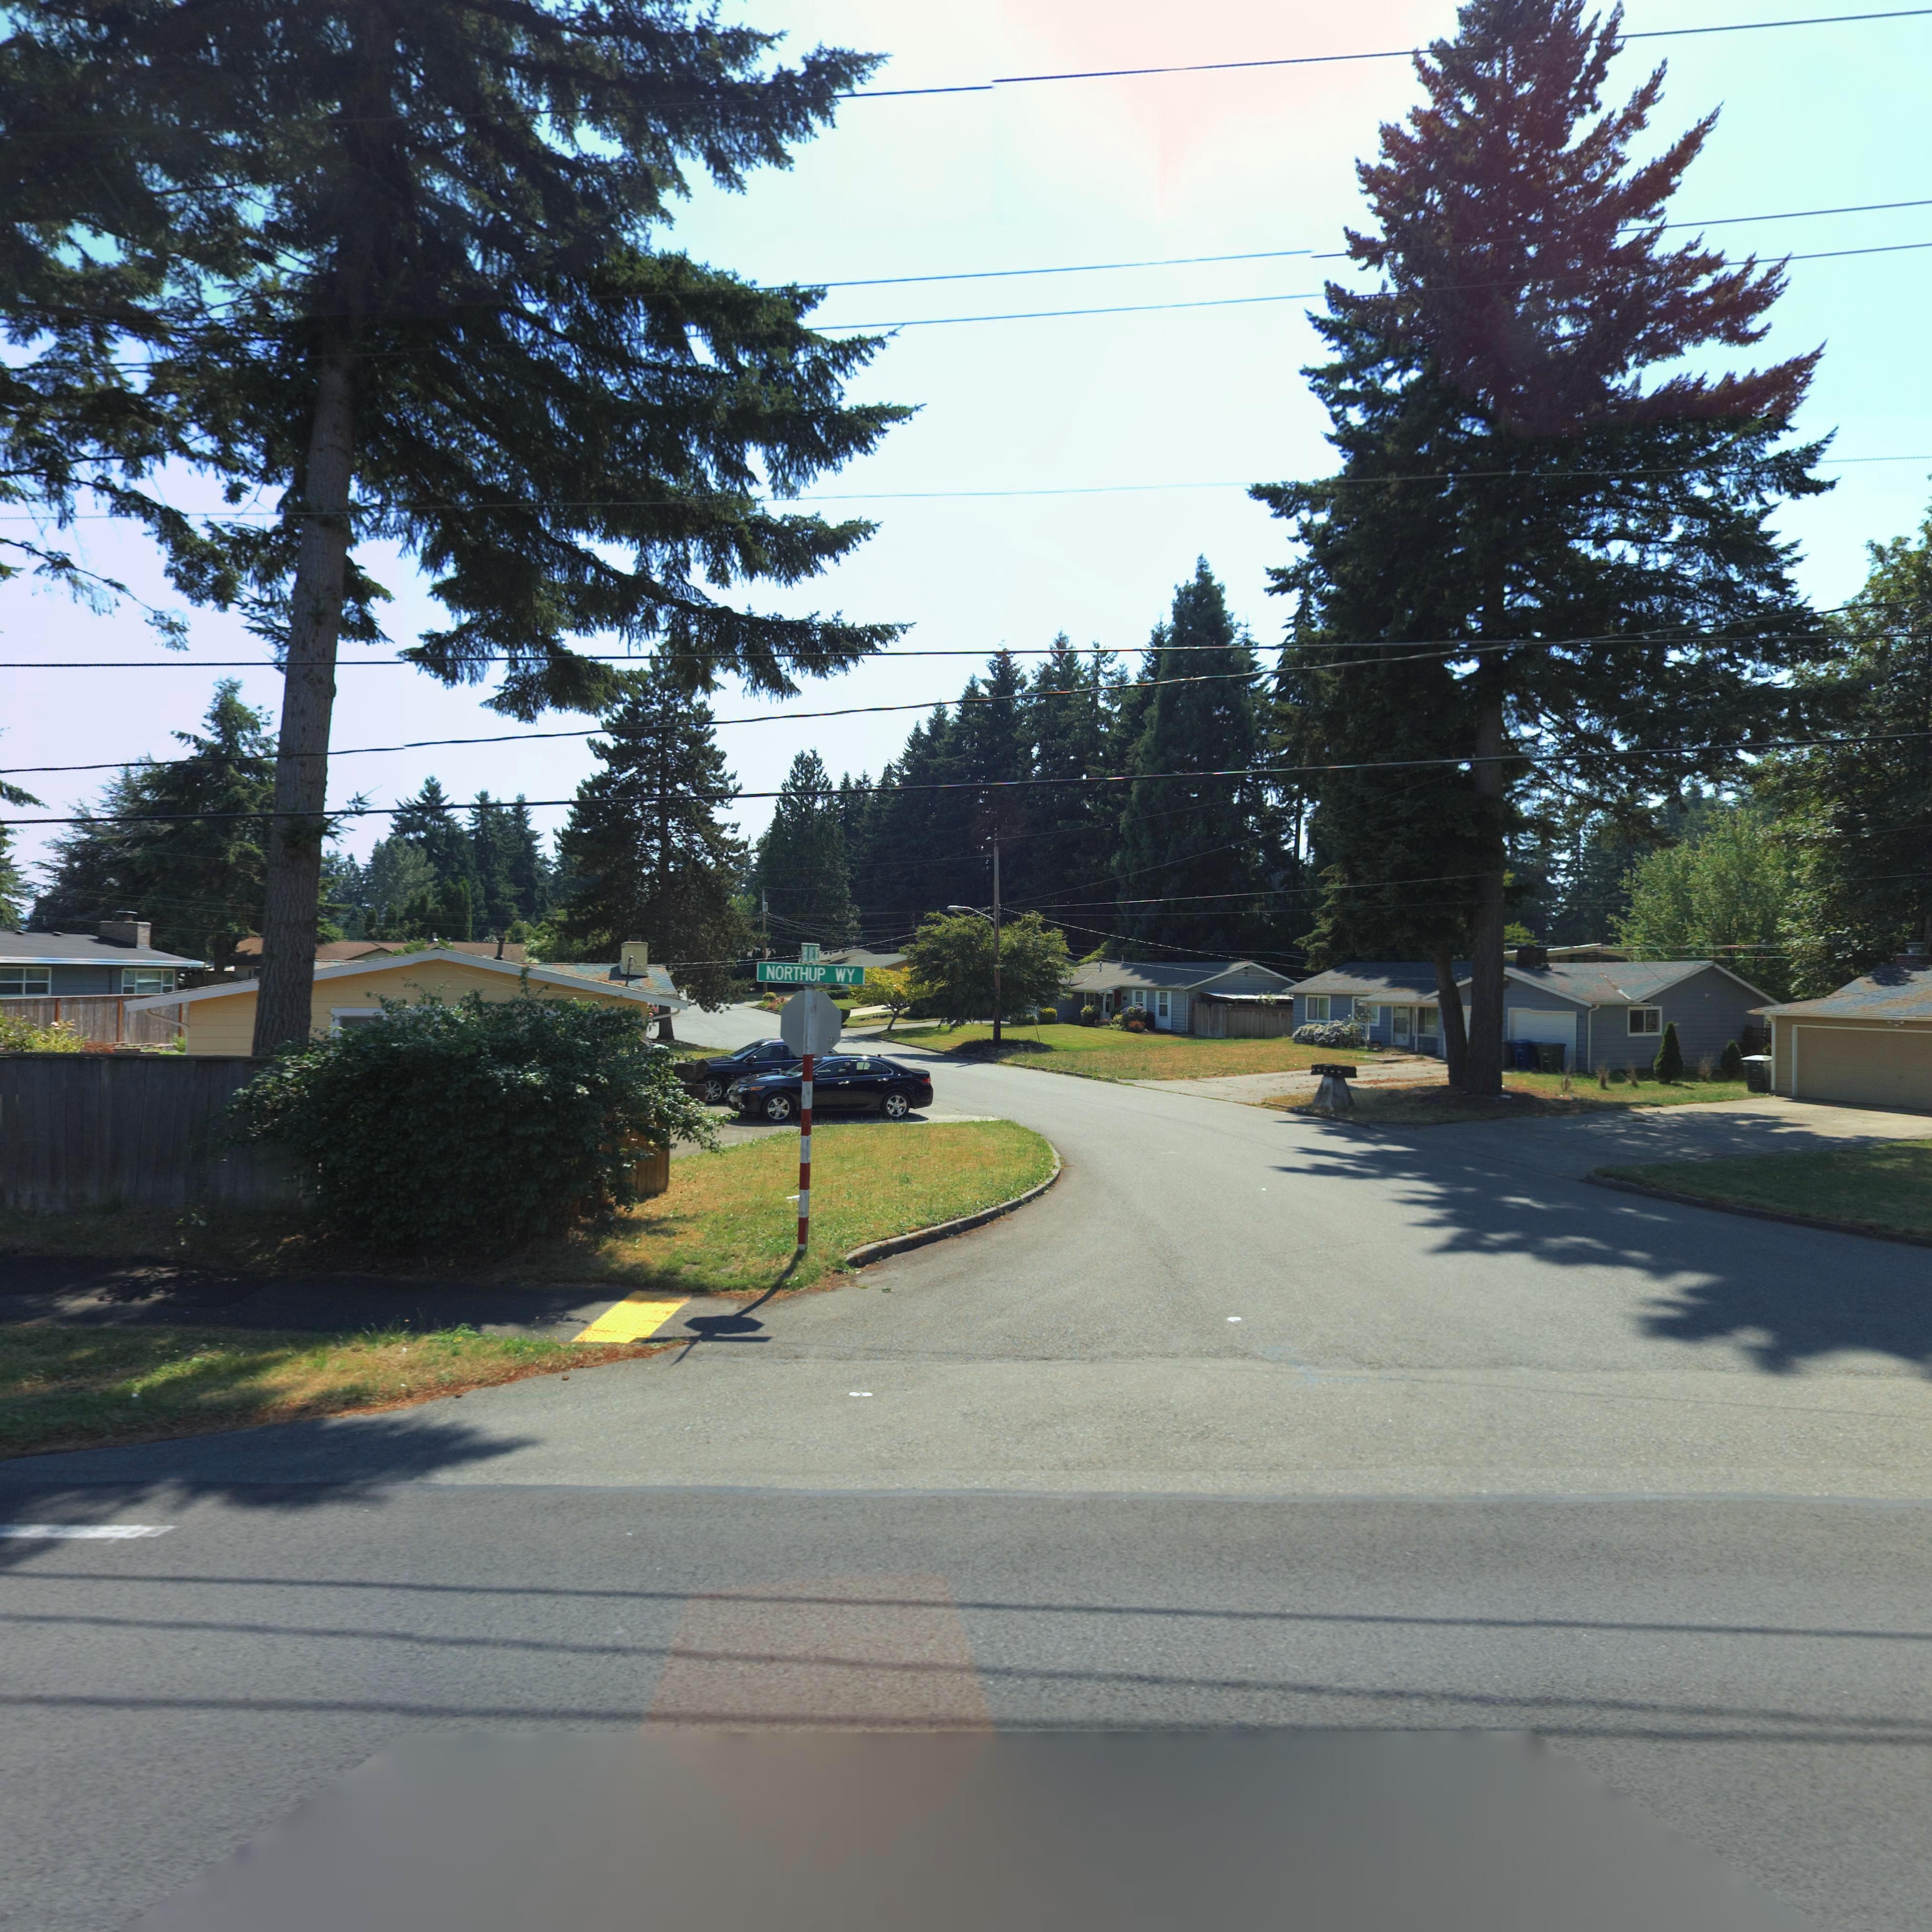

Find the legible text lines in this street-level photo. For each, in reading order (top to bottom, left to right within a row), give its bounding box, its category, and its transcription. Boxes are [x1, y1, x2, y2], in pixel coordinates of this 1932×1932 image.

[766, 964, 856, 983] StreetName: NORTHUP WY